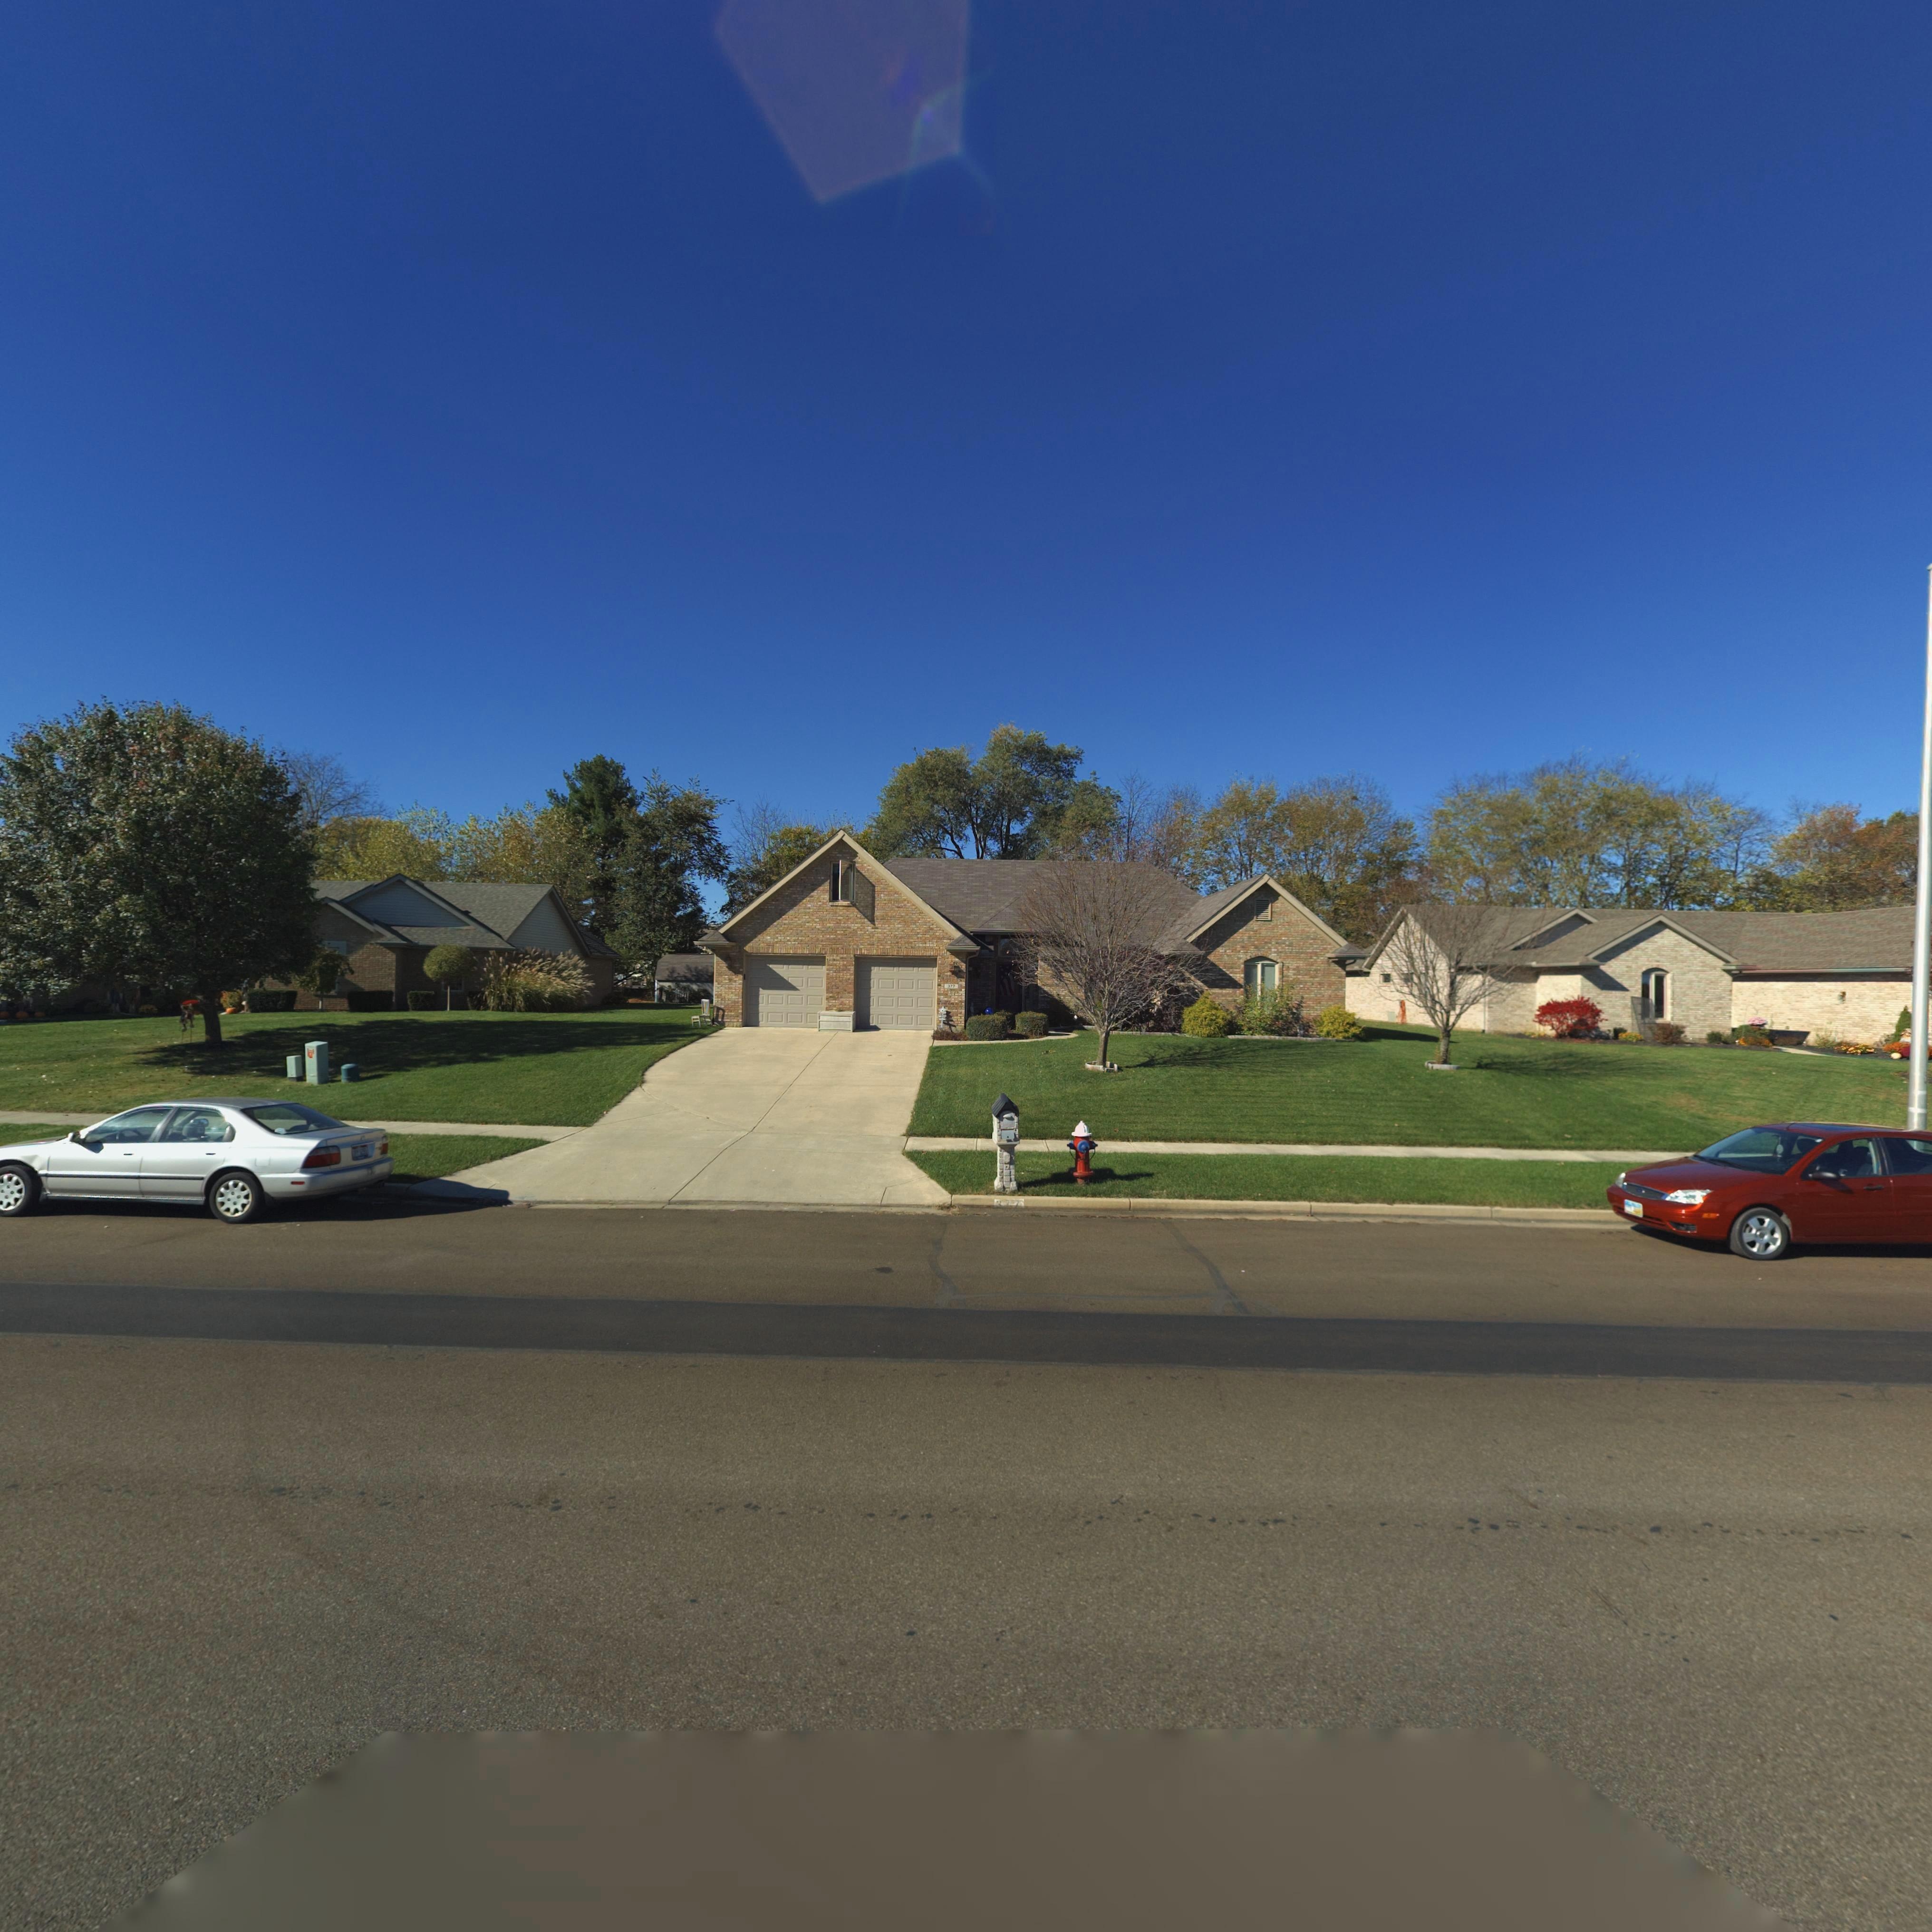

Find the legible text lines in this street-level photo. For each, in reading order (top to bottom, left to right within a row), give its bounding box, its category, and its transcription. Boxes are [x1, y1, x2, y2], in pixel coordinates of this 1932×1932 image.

[947, 984, 956, 988] StreetNumber: 377
[1005, 1199, 1020, 1207] StreetNumber: 77